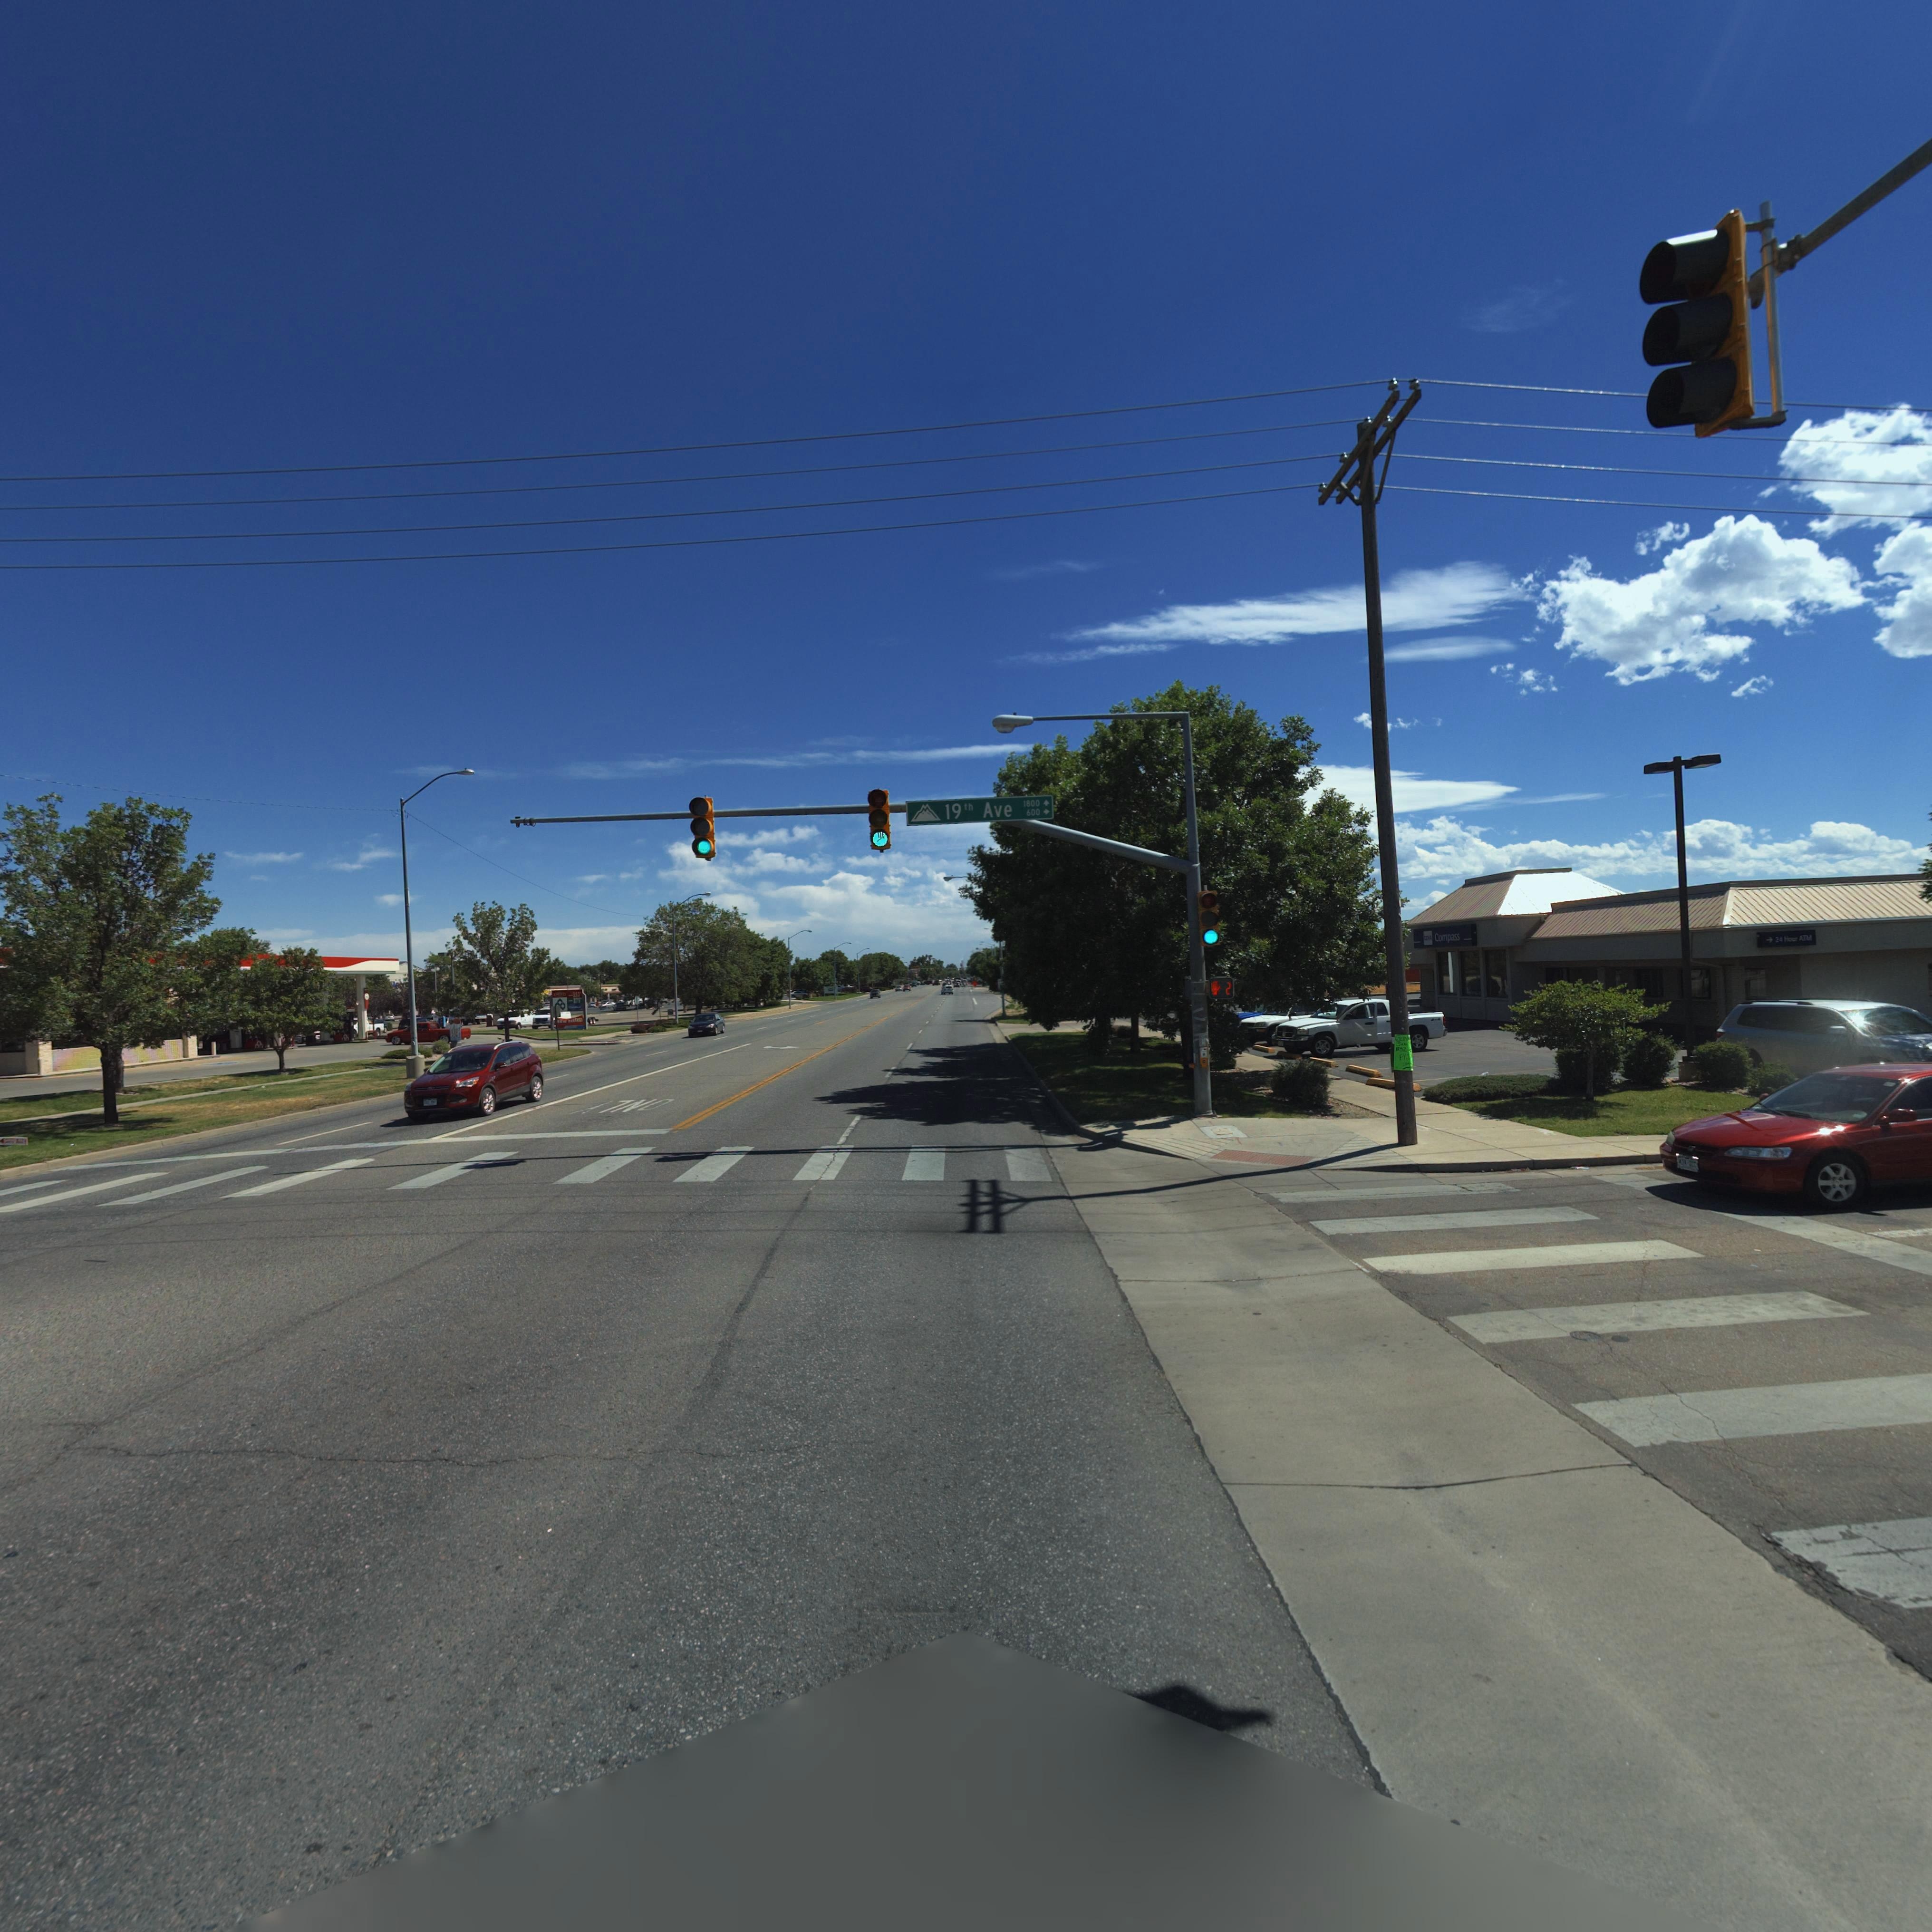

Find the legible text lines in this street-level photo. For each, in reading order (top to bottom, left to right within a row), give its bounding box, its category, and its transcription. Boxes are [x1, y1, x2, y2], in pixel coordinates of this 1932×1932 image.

[1023, 800, 1040, 807] StreetNumberRange: 1800
[944, 801, 1014, 820] StreetName: 19th Ave
[1025, 808, 1051, 816] StreetNumberRange: 600 ->
[1434, 932, 1460, 943] BusinessName: Compass